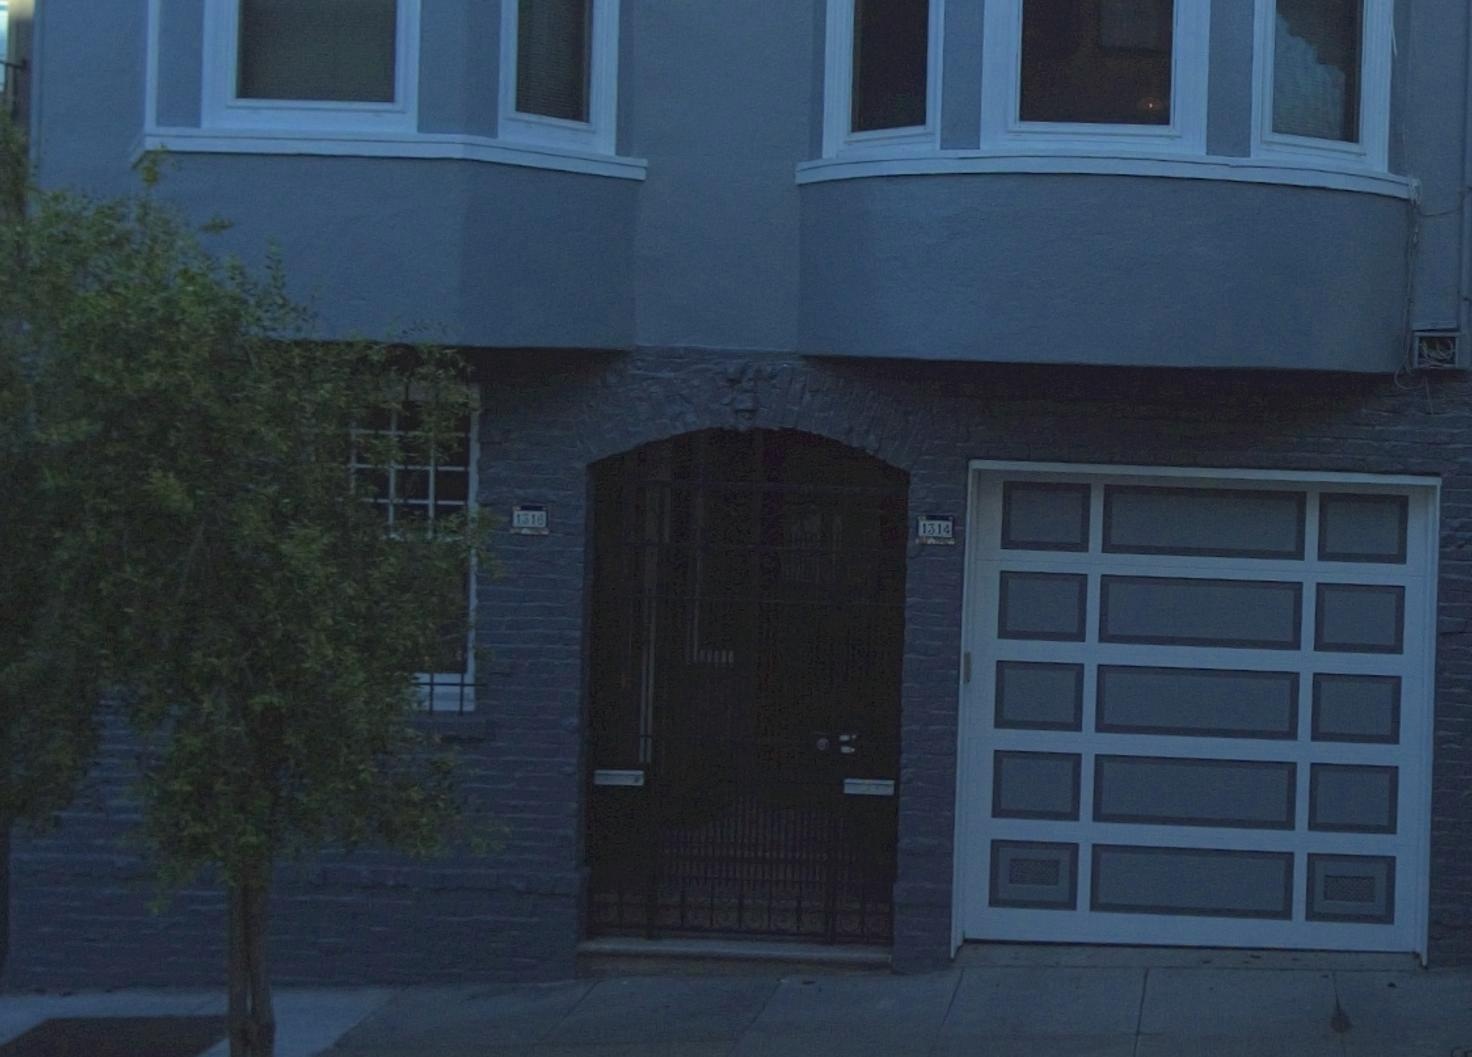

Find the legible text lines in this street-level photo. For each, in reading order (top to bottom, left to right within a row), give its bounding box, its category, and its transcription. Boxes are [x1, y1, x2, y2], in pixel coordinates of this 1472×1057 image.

[515, 512, 545, 527] StreetNumber: 1316
[921, 521, 951, 536] StreetNumber: 1314